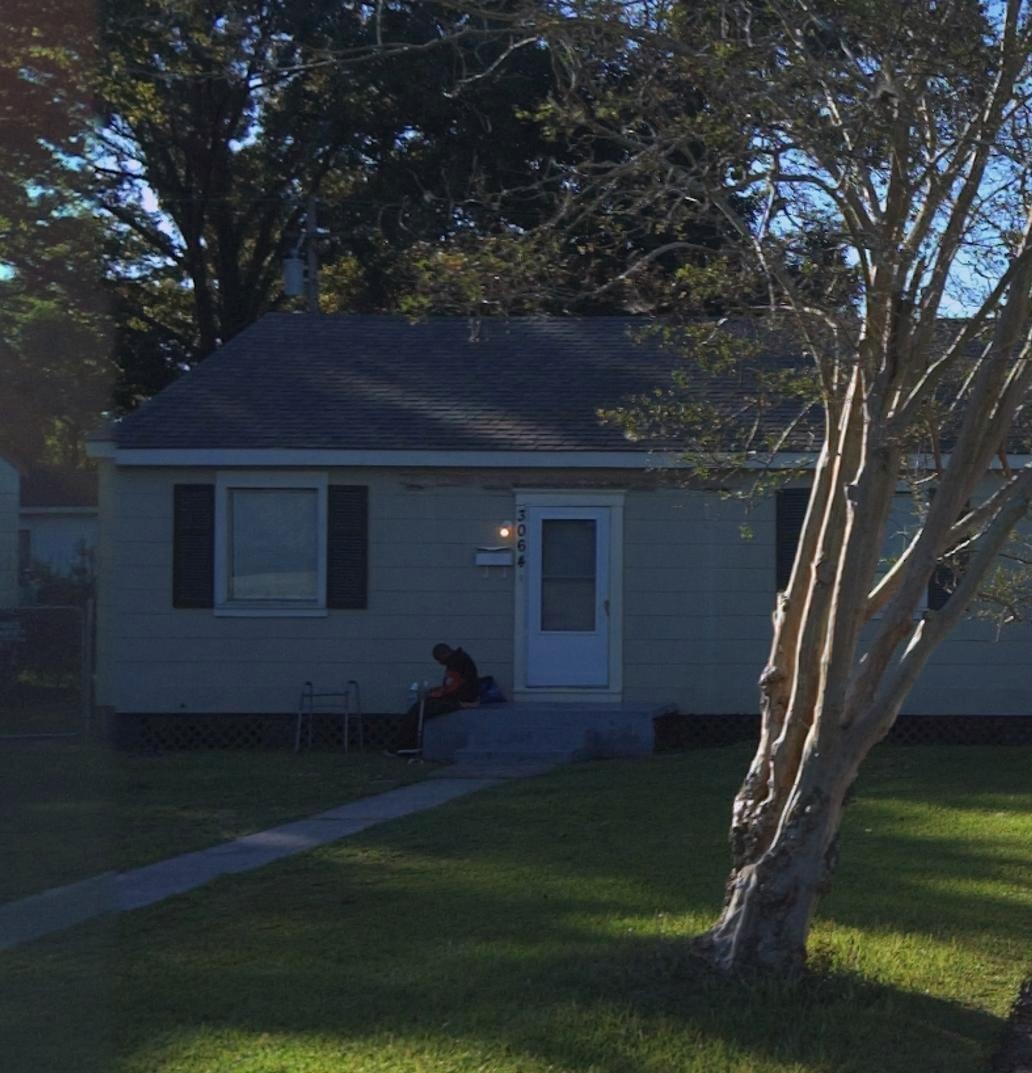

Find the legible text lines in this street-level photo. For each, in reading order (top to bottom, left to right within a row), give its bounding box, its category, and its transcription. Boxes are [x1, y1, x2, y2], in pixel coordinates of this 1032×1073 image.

[517, 507, 527, 570] StreetNumber: 3064